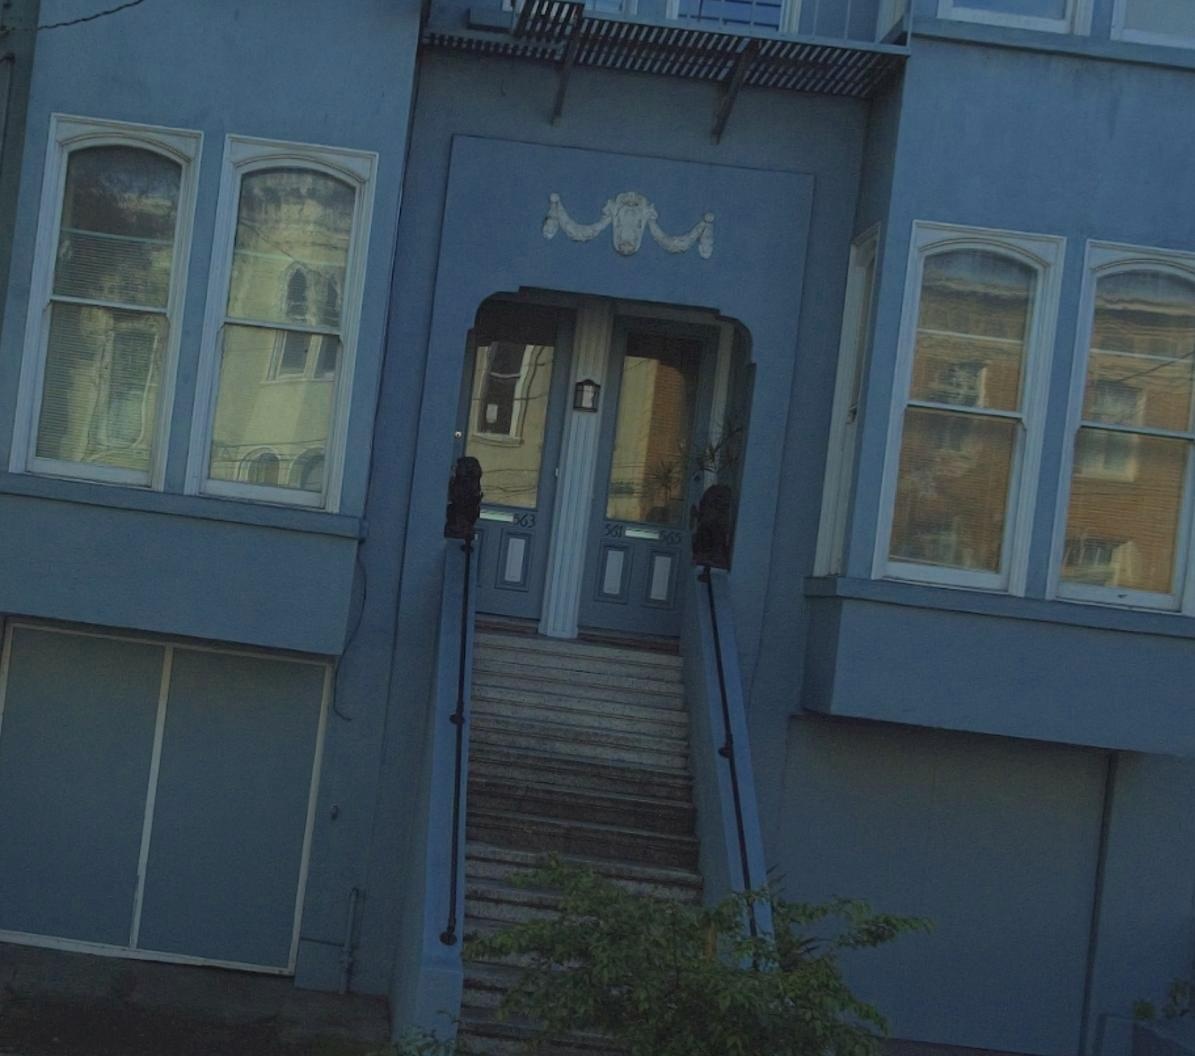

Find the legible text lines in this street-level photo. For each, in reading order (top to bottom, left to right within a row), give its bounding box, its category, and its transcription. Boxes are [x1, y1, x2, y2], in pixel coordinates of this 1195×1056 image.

[511, 511, 538, 532] StreetNumber: 563
[601, 521, 626, 541] StreetNumber: 461
[657, 528, 684, 548] StreetNumber: 565